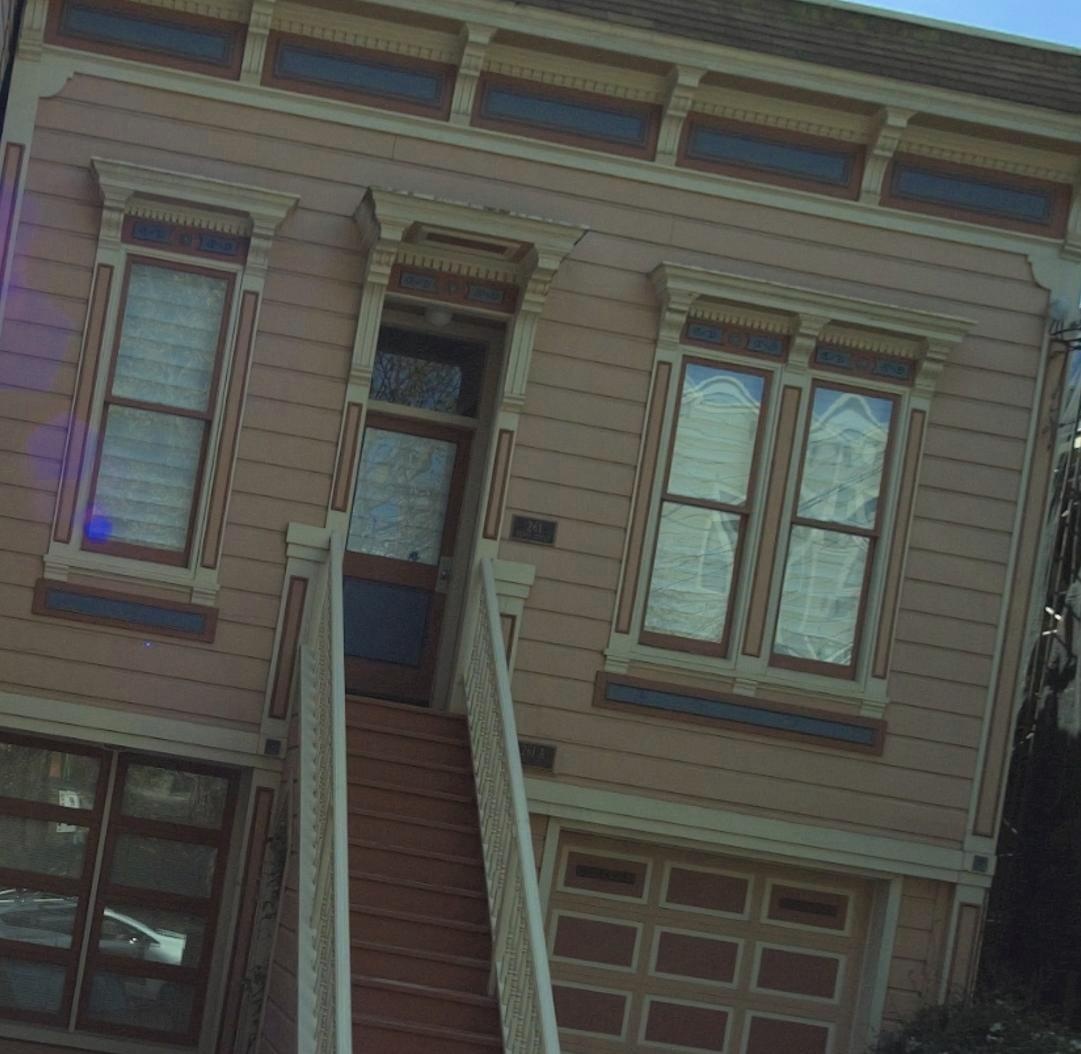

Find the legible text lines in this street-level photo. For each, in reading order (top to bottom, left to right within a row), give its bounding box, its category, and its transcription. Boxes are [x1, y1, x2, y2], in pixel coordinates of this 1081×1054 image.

[525, 520, 546, 533] StreetNumber: 261
[519, 743, 545, 760] StreetNumber: 261 A